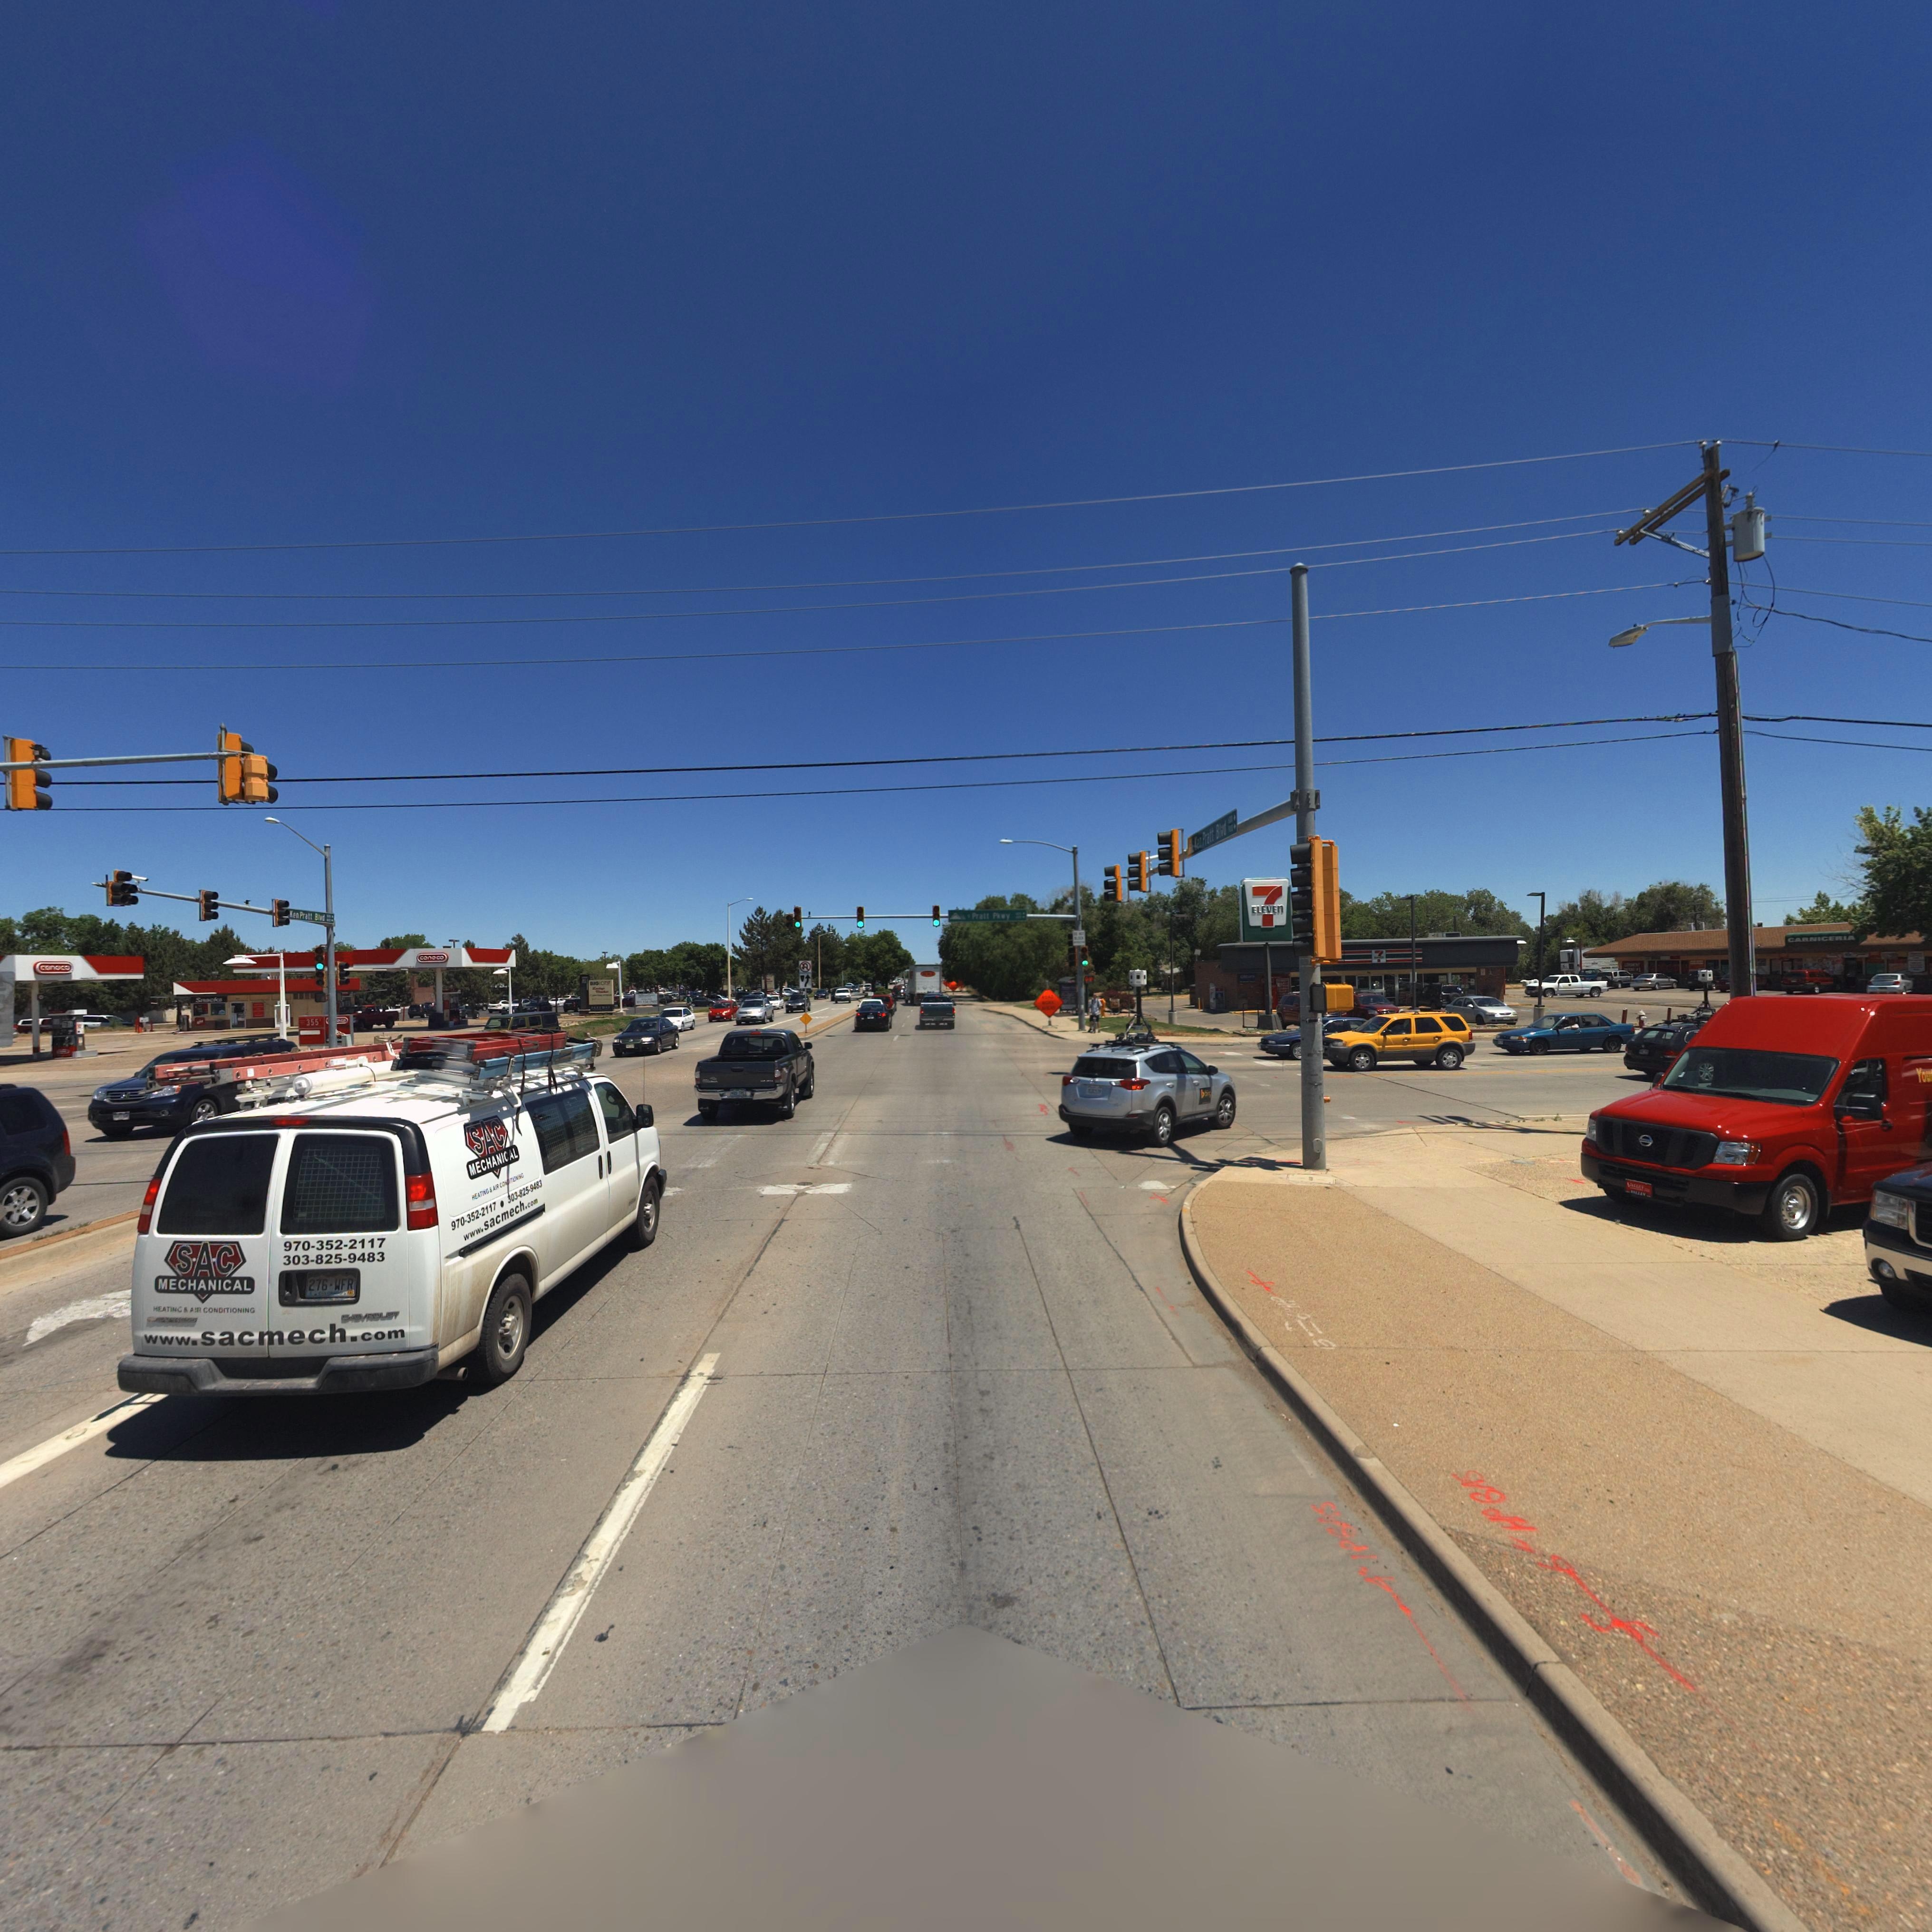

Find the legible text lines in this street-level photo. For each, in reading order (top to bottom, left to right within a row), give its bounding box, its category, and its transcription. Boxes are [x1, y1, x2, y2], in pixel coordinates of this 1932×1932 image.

[1193, 819, 1226, 851] StreetName: Ken Pratt Blvd
[1251, 884, 1283, 927] BusinessName: 7
[1251, 904, 1284, 914] BusinessName: ELEVEn
[290, 910, 325, 921] StreetName: Ken Pratt Blvd
[967, 912, 1011, 922] StreetName: * Pratt Pk*y
[419, 956, 444, 960] BusinessName: conoco
[1374, 950, 1384, 962] BusinessName: 7
[39, 965, 70, 970] BusinessName: conoco
[589, 981, 609, 985] BusinessName: B*G*OTS
[336, 1019, 346, 1022] BusinessName: oco